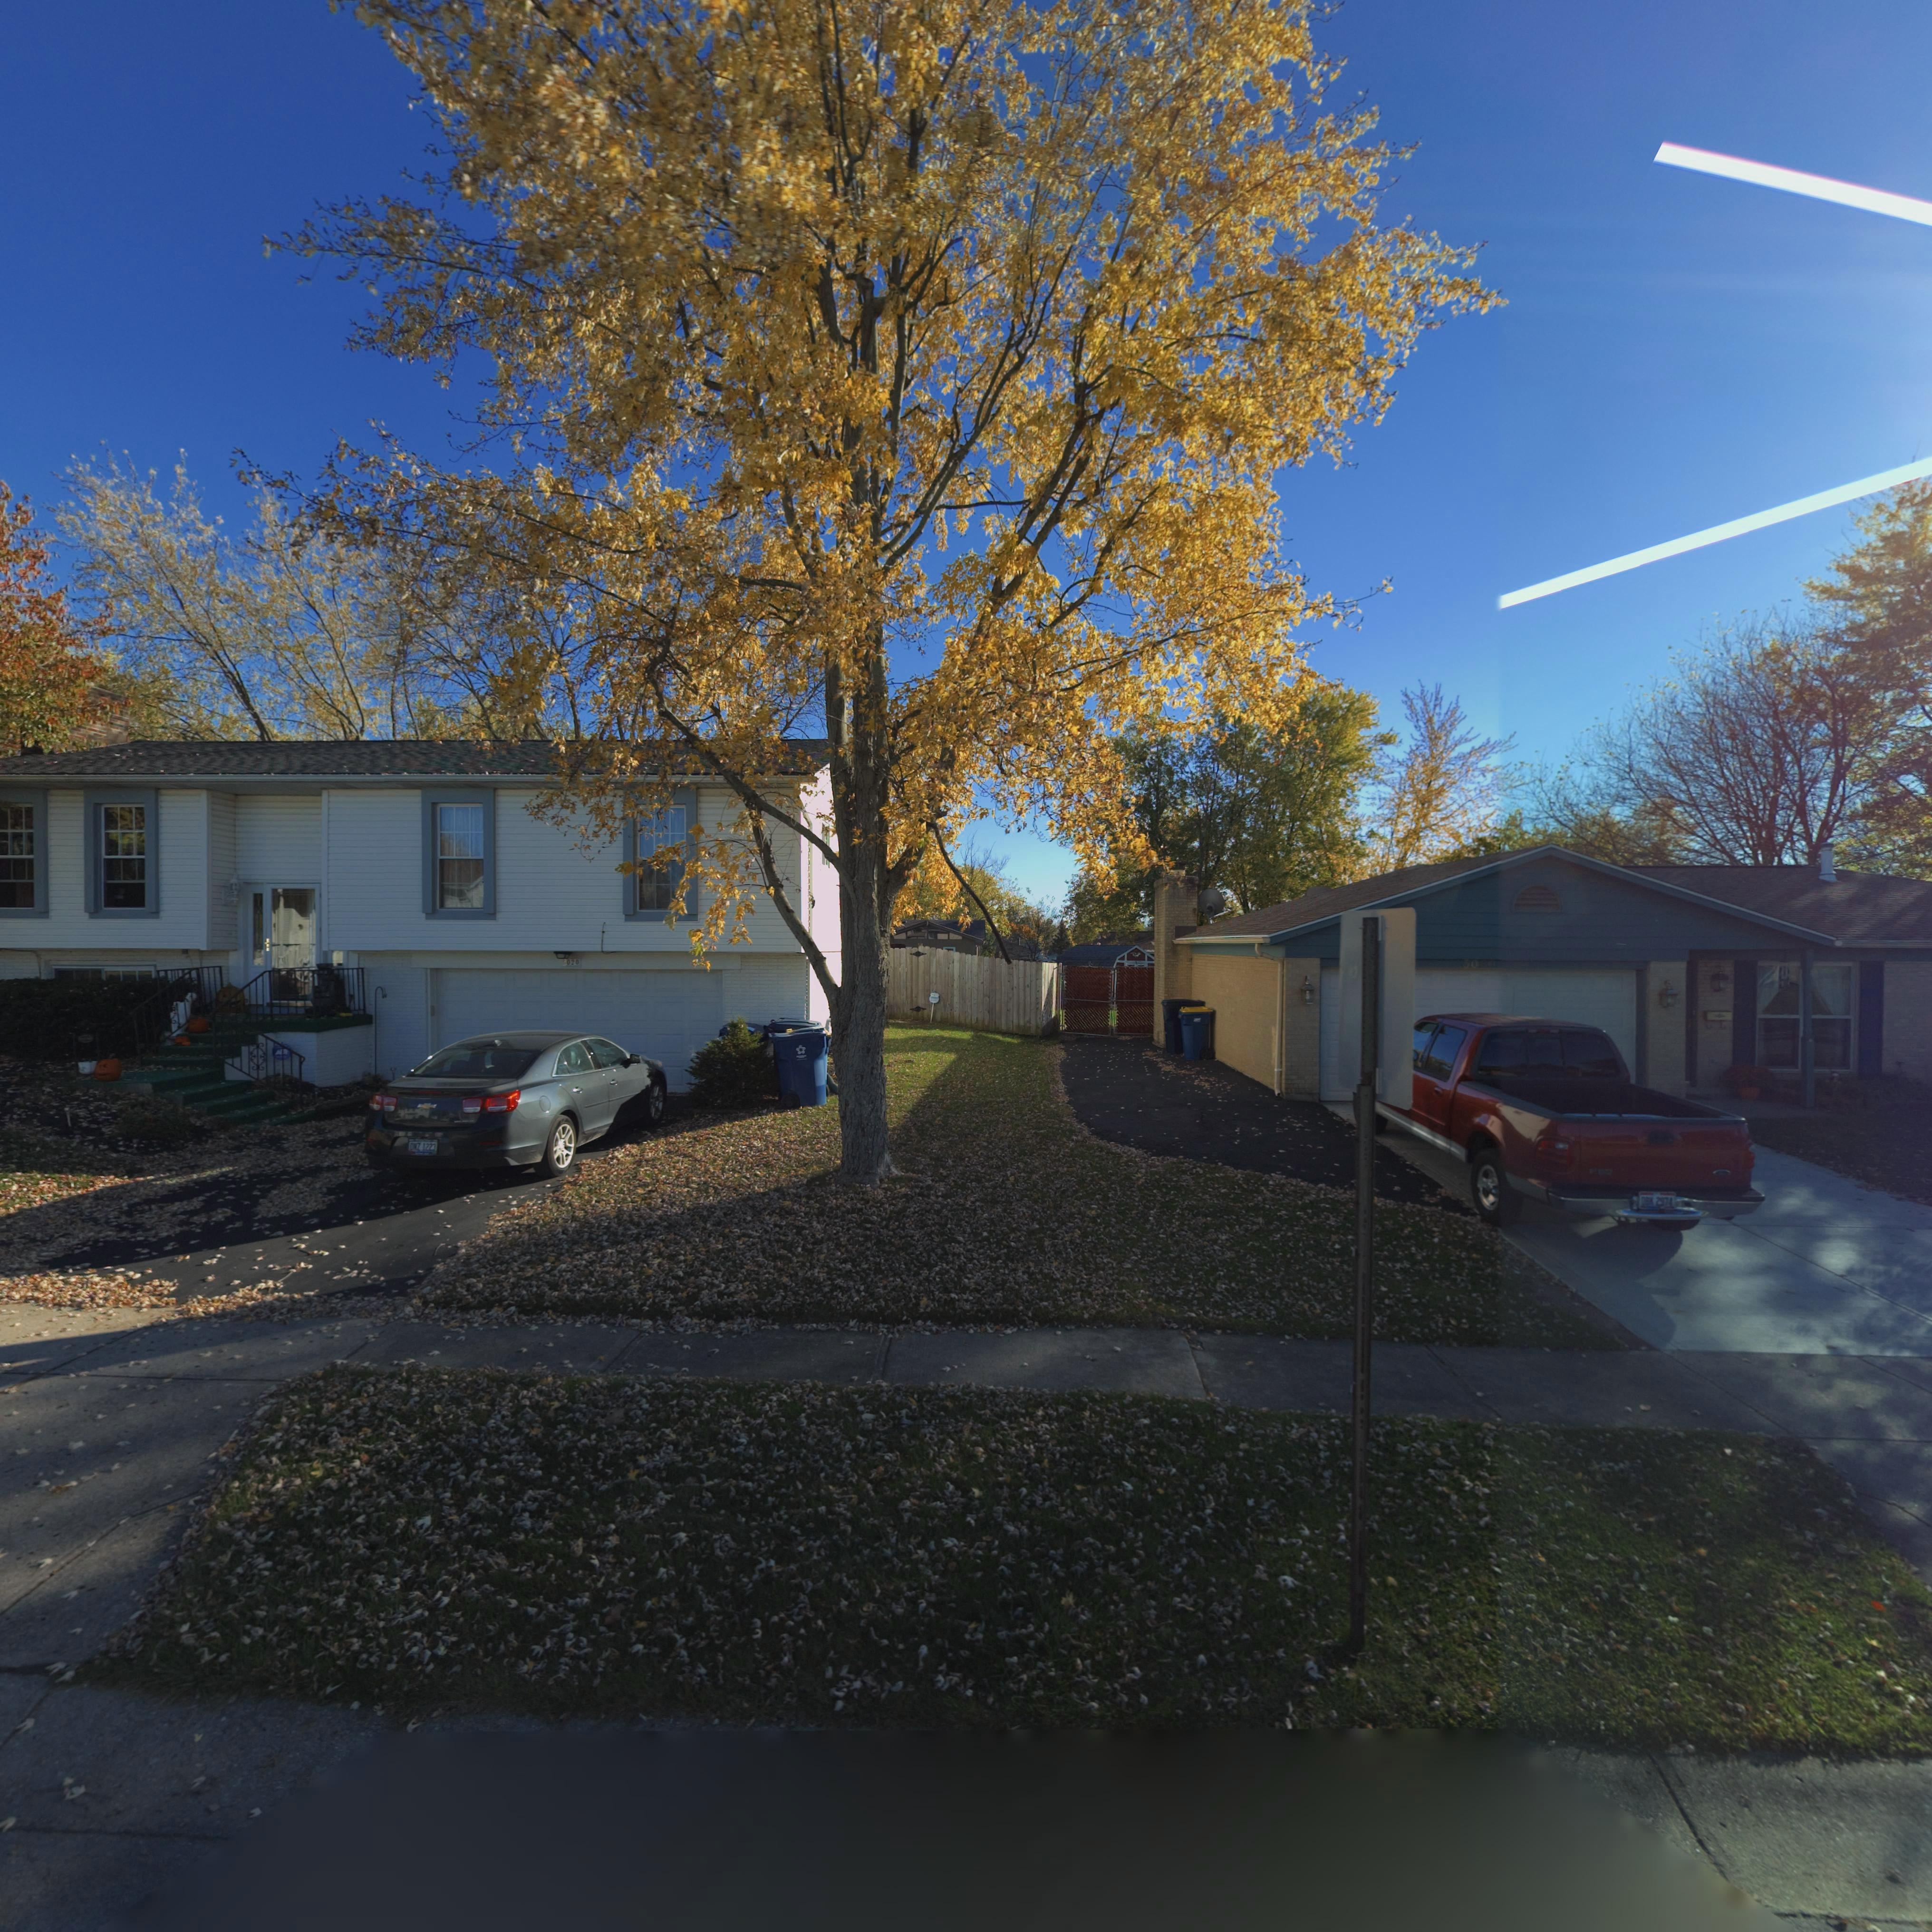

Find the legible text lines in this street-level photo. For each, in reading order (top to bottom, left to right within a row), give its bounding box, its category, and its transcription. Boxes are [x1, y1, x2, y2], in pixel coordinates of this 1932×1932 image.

[561, 959, 580, 965] StreetNumber: 5020
[1461, 958, 1497, 969] StreetNumber: 5030